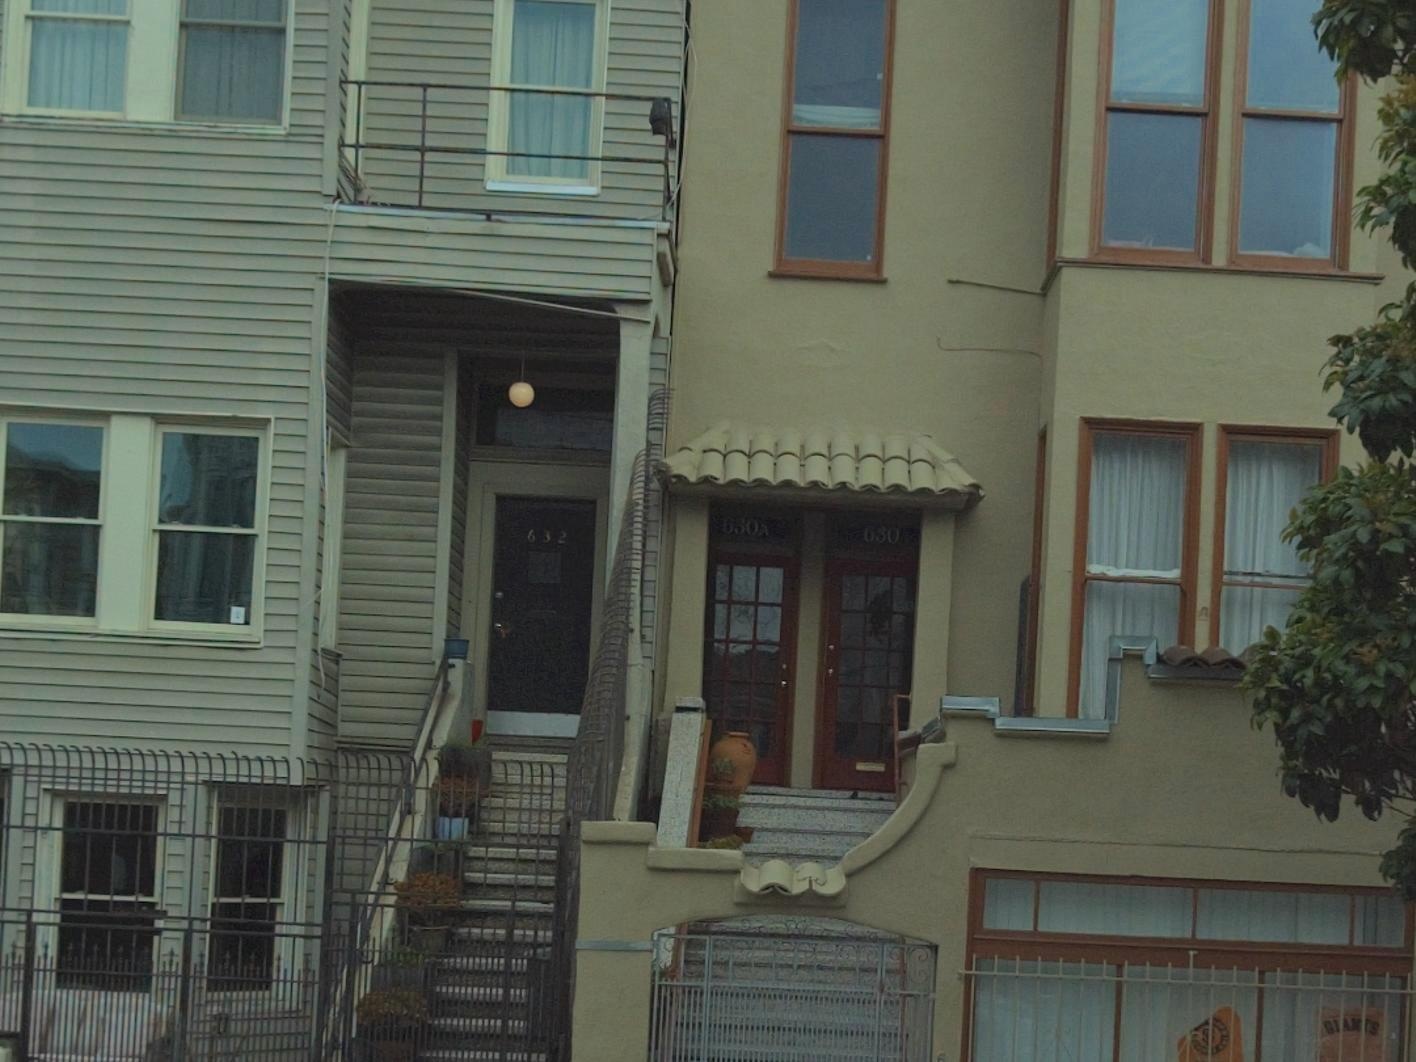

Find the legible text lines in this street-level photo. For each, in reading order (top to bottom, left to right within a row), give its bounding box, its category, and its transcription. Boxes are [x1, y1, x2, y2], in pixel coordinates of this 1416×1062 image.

[522, 525, 571, 547] StreetNumber: 632
[720, 514, 772, 539] StreetNumber: 630A
[862, 522, 902, 546] StreetNumber: 630
[1319, 1015, 1343, 1038] None: GI
[1348, 1015, 1364, 1033] None: N
[1367, 1017, 1382, 1038] None: S